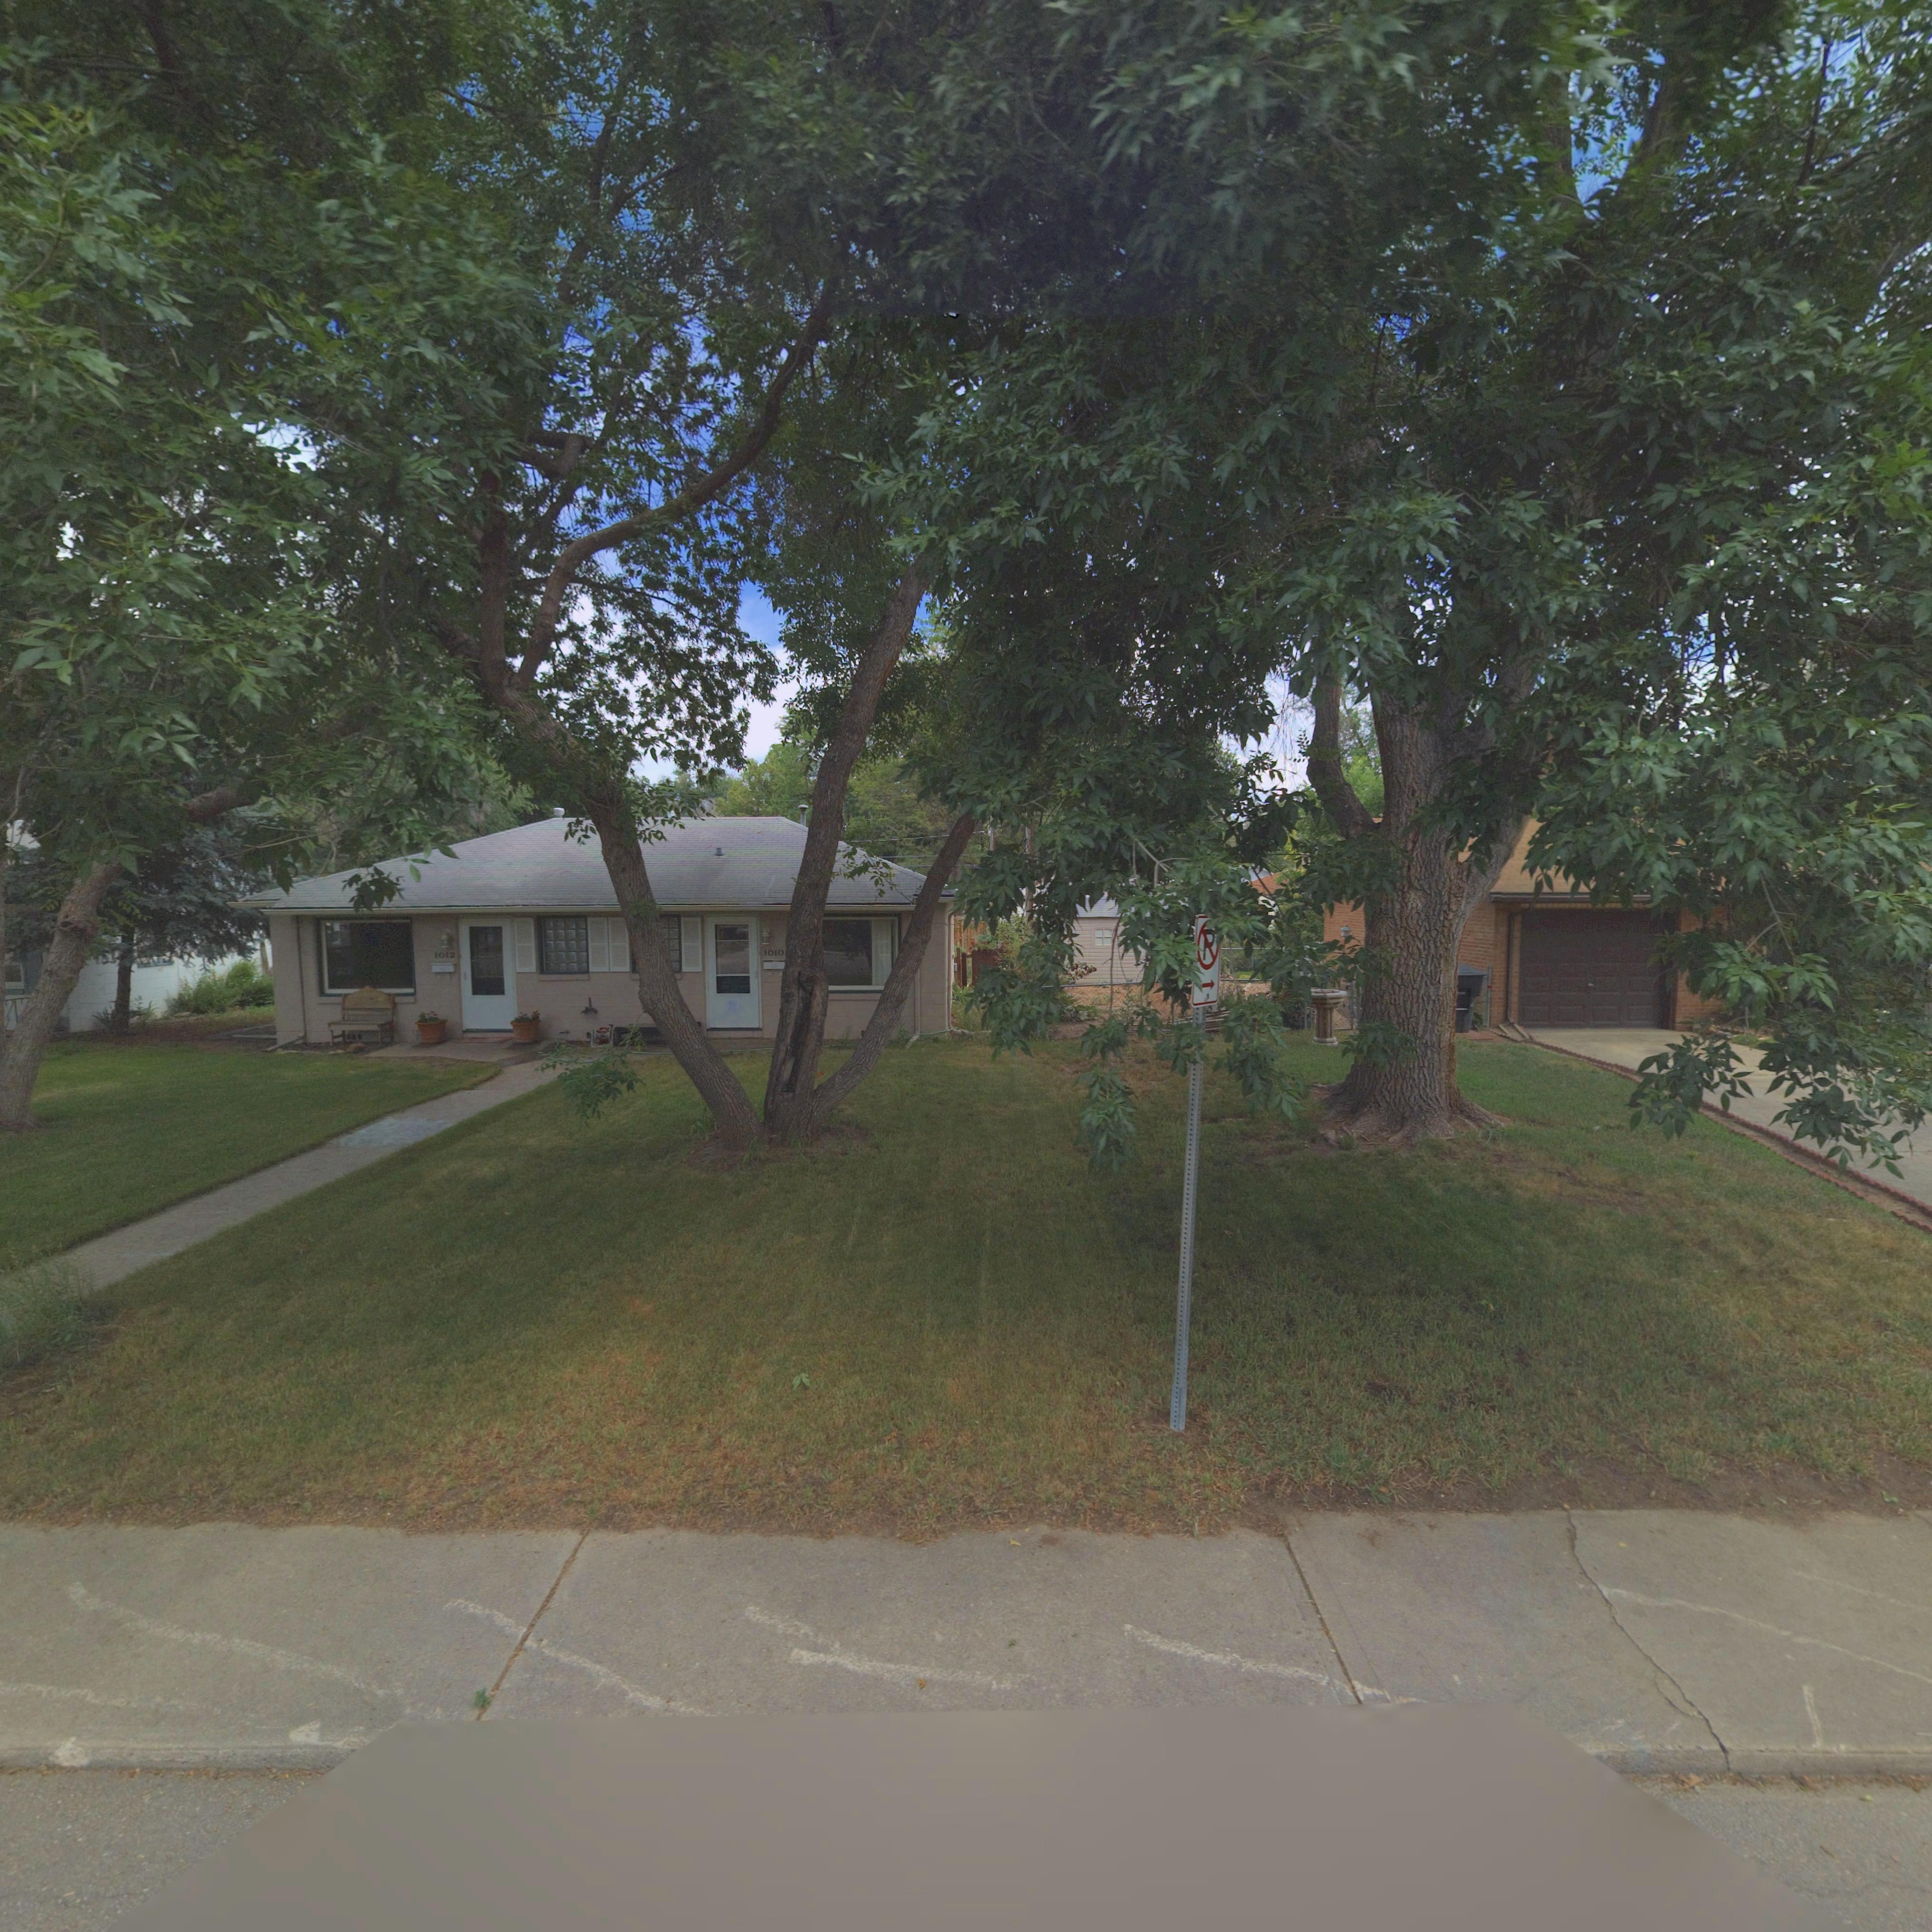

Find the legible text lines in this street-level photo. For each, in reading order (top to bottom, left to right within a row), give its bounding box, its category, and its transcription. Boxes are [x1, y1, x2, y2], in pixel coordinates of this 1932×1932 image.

[435, 952, 455, 958] StreetNumber: 1012
[764, 950, 784, 956] StreetNumber: 1010